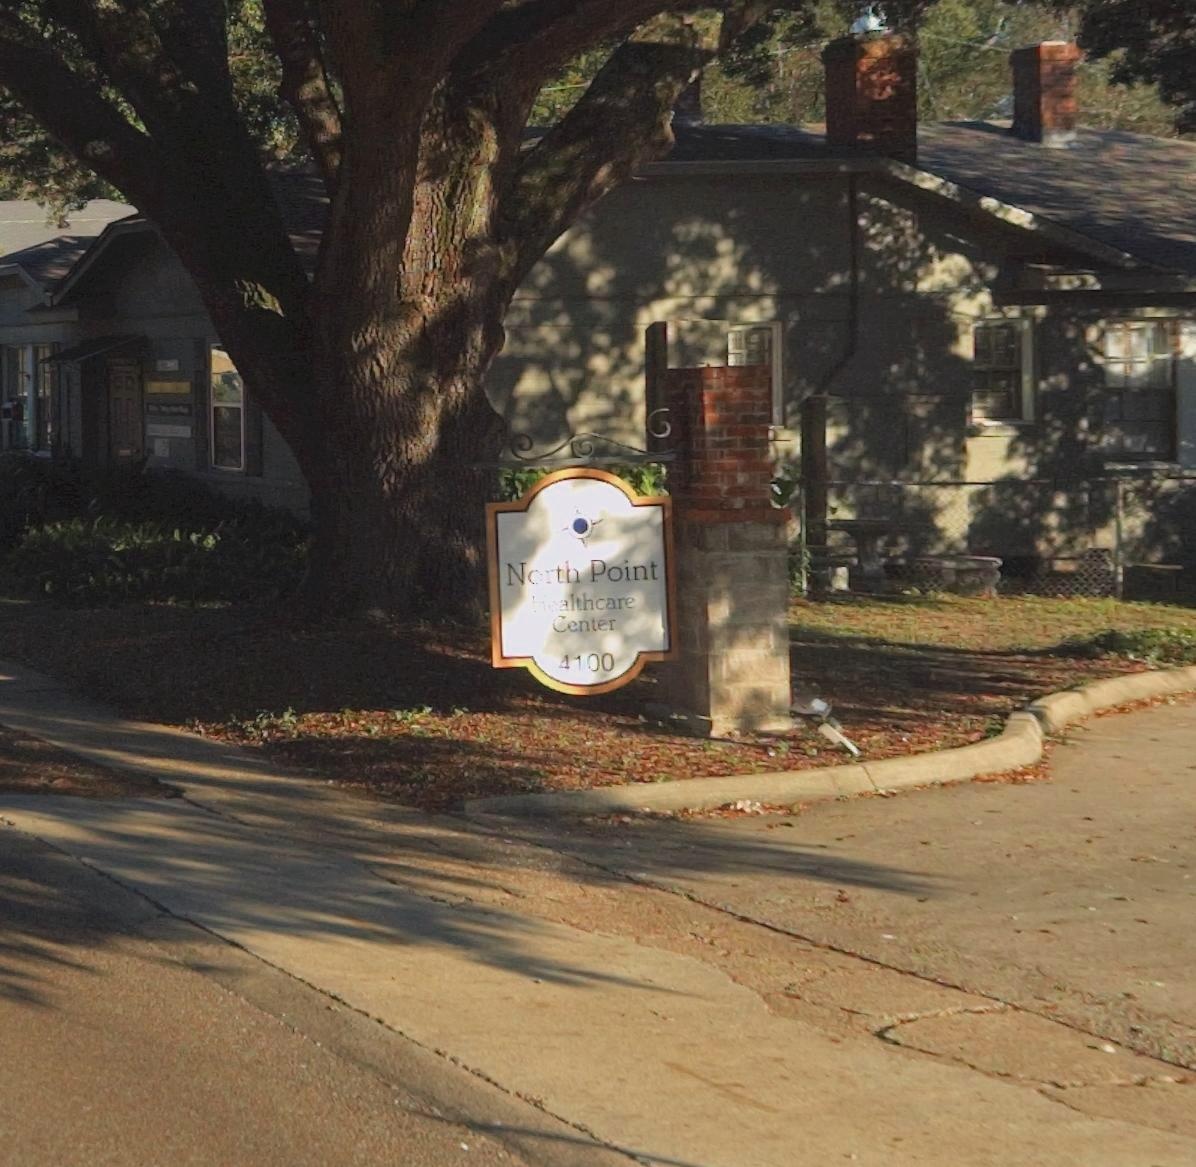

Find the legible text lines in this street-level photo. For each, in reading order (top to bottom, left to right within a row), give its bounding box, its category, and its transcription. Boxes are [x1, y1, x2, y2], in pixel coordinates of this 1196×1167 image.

[505, 558, 660, 588] BusinessName: North Point
[531, 590, 637, 616] BusinessName: Healthcare
[552, 614, 618, 634] BusinessName: Center
[557, 651, 616, 673] StreetNumber: 4100